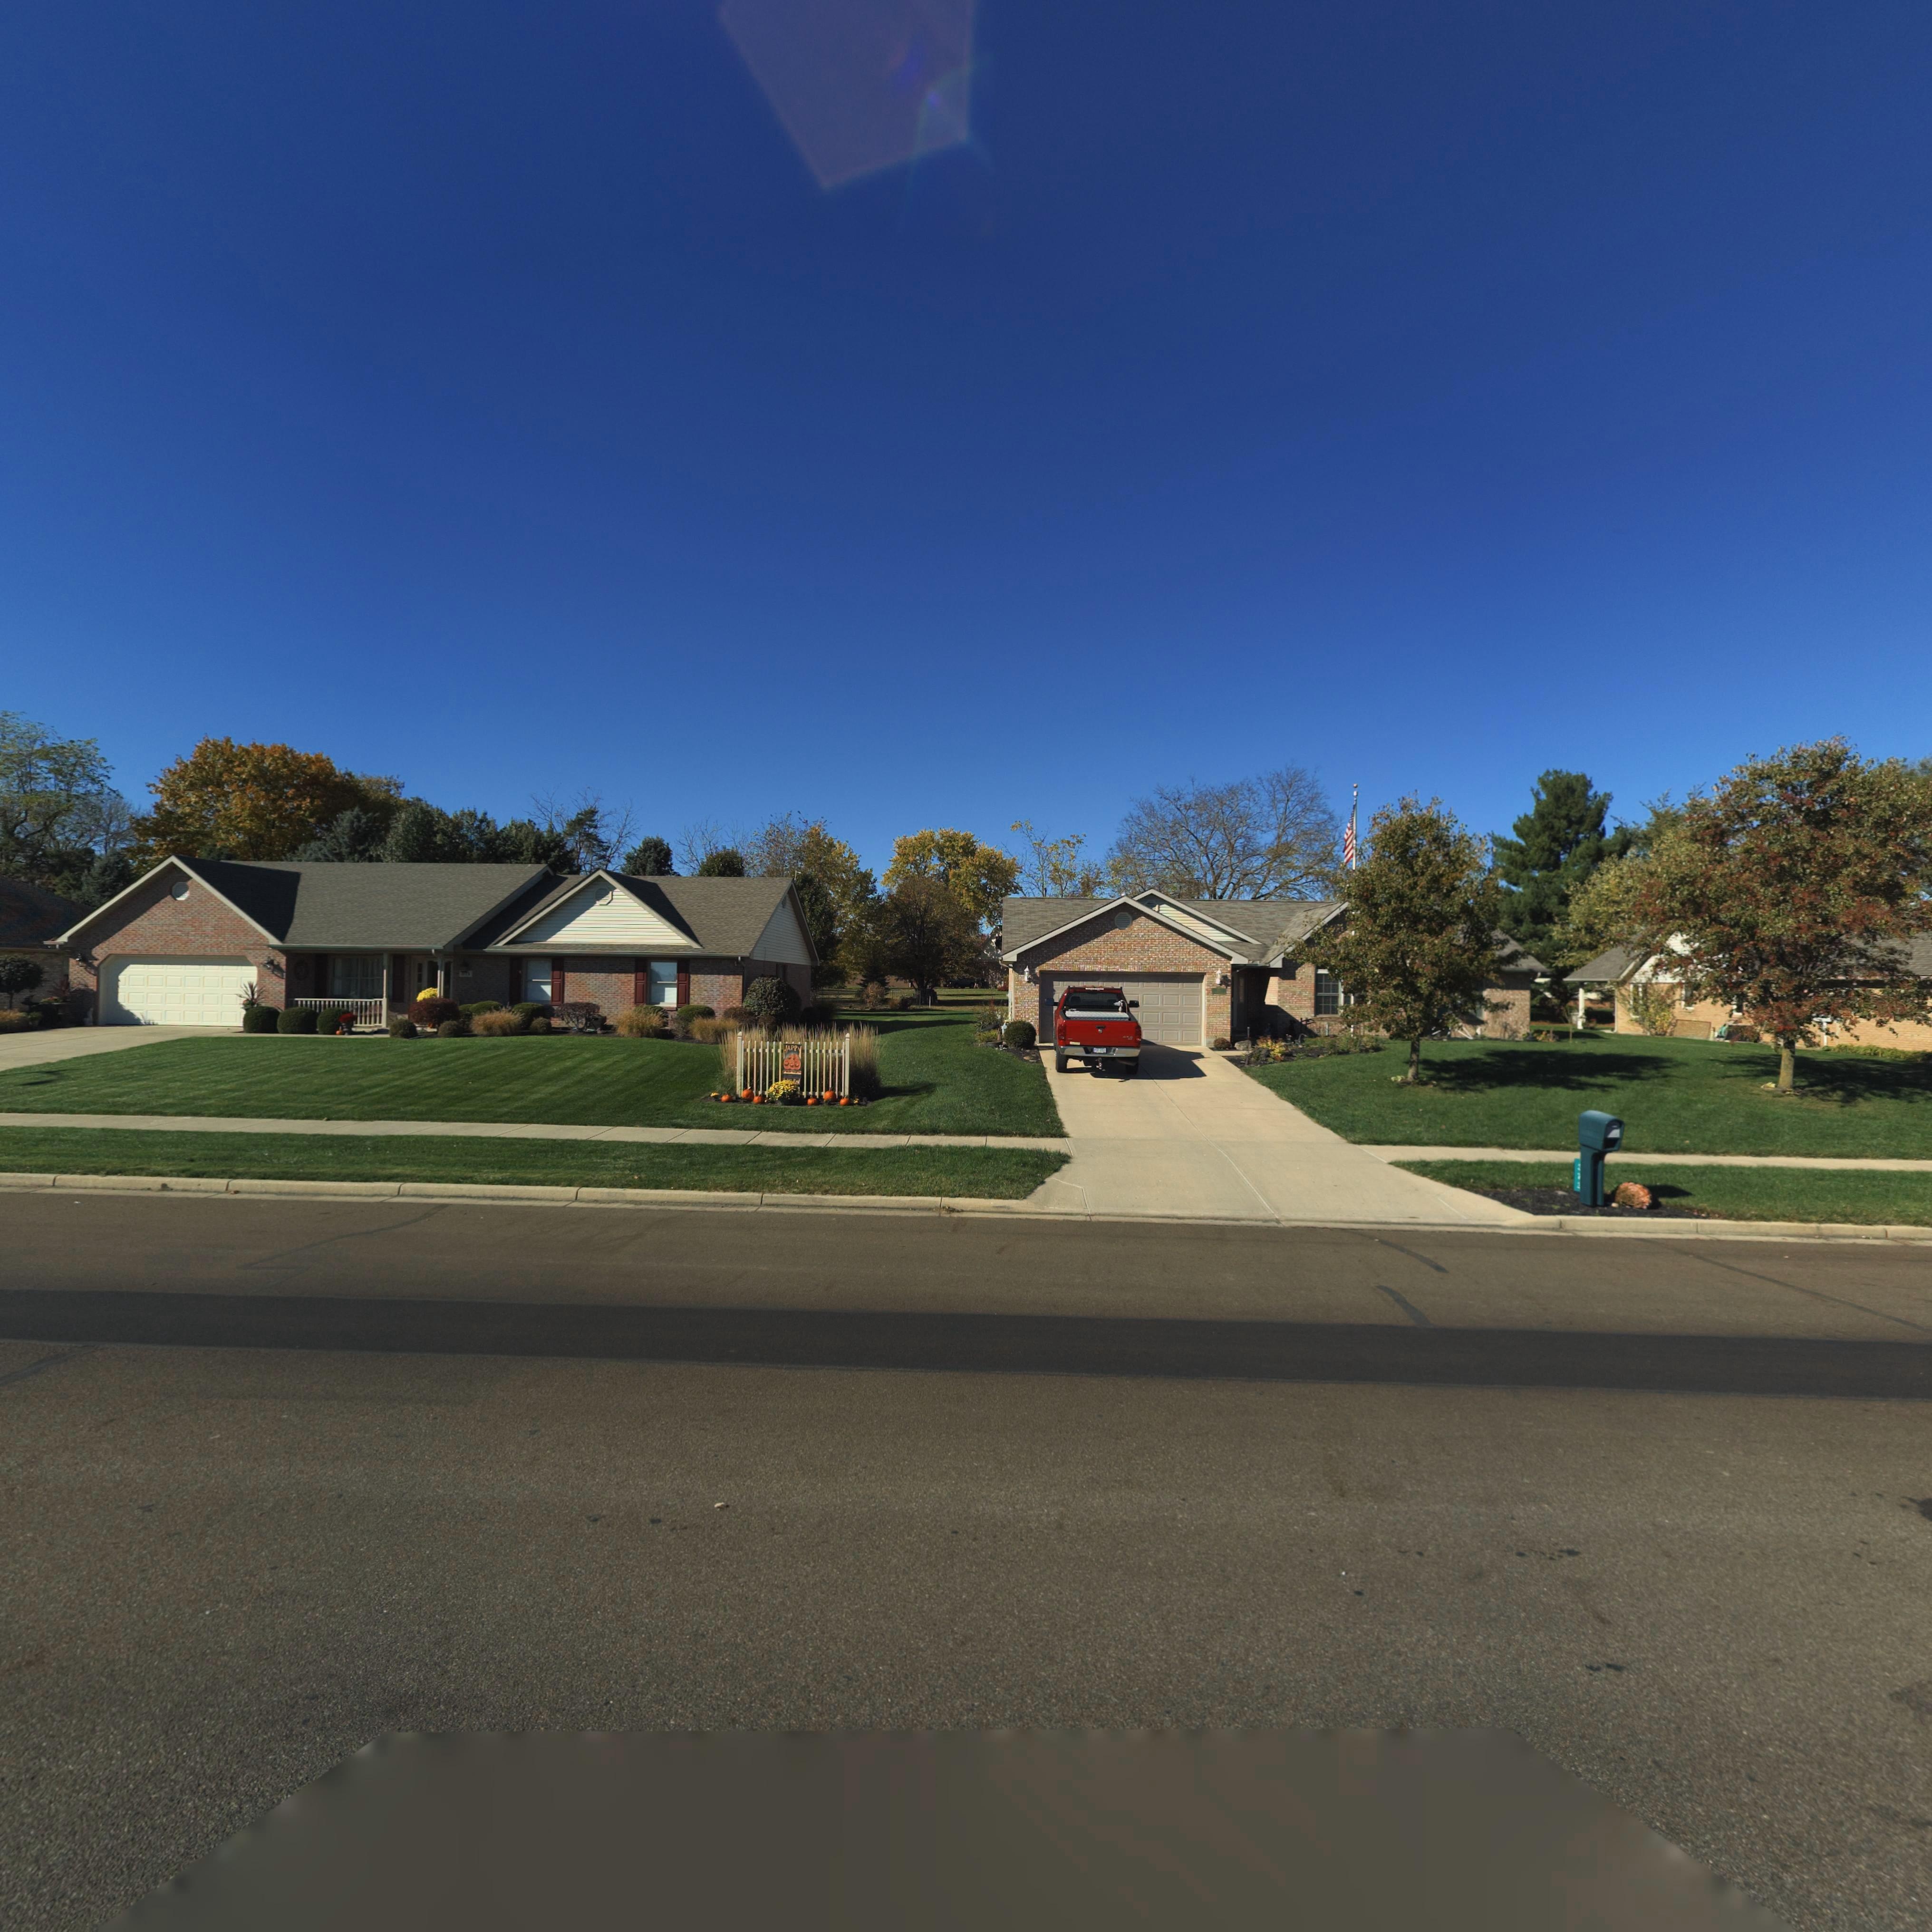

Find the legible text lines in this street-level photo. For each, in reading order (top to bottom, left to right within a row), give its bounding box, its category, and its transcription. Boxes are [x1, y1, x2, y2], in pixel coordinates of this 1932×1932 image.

[461, 971, 470, 976] StreetNumber: *71
[1576, 1162, 1582, 1189] StreetNumber: *73